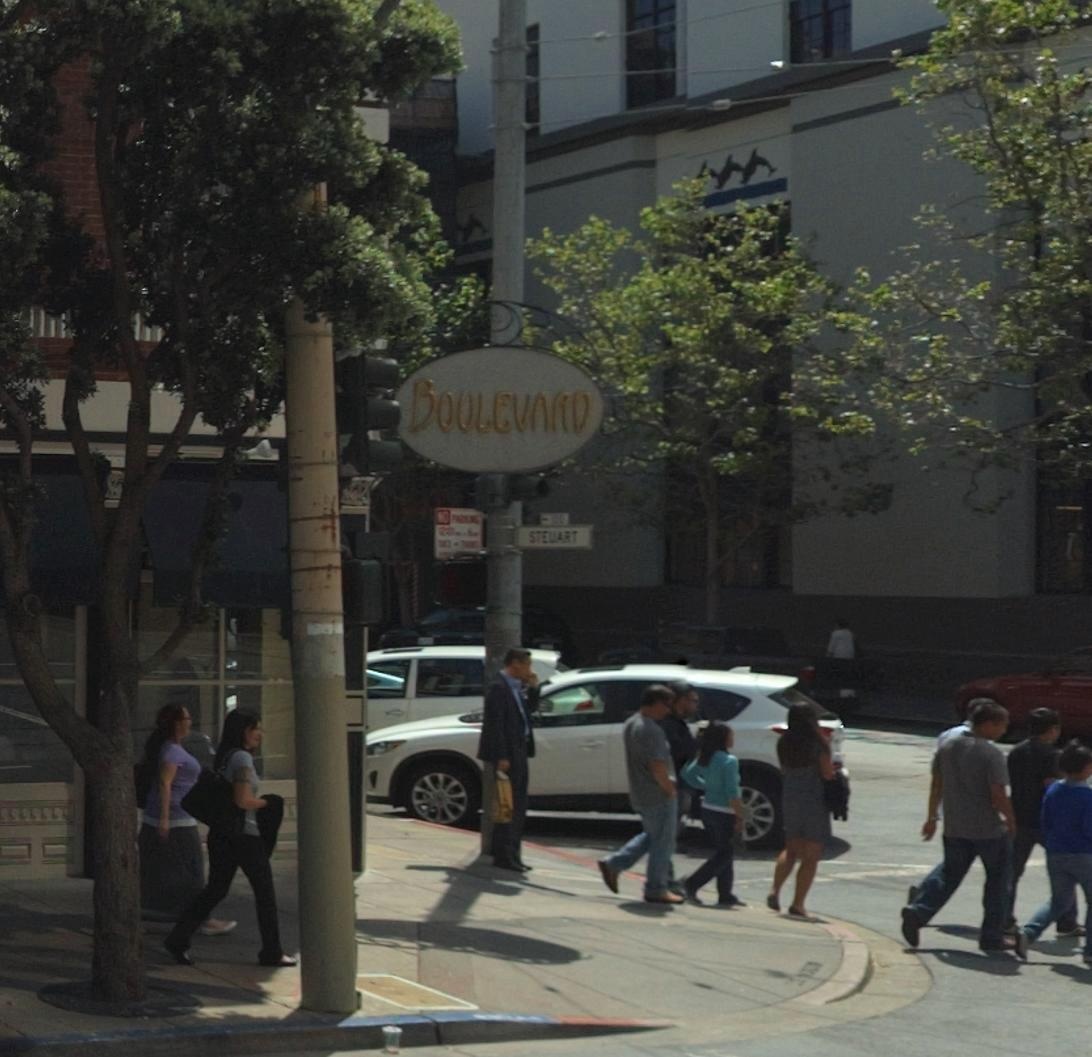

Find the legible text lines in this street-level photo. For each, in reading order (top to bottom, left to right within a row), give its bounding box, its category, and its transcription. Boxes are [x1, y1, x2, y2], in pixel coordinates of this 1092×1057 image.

[406, 373, 595, 434] None: BOULEVARD
[435, 509, 450, 525] None: NO
[525, 529, 581, 547] StreetName: STEUART